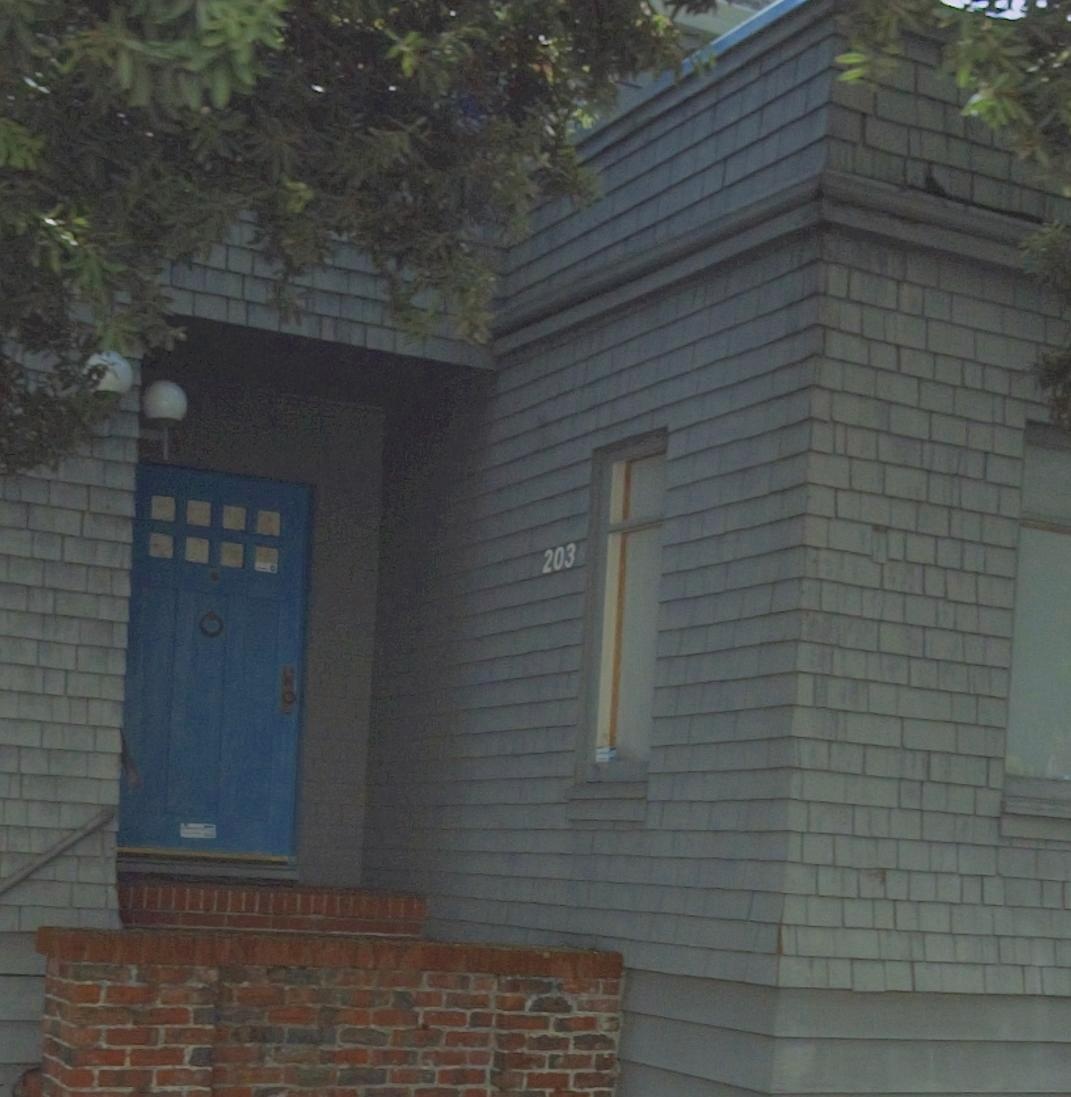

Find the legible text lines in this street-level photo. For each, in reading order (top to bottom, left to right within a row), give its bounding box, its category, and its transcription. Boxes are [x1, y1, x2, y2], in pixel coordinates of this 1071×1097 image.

[541, 541, 577, 575] StreetNumber: 203